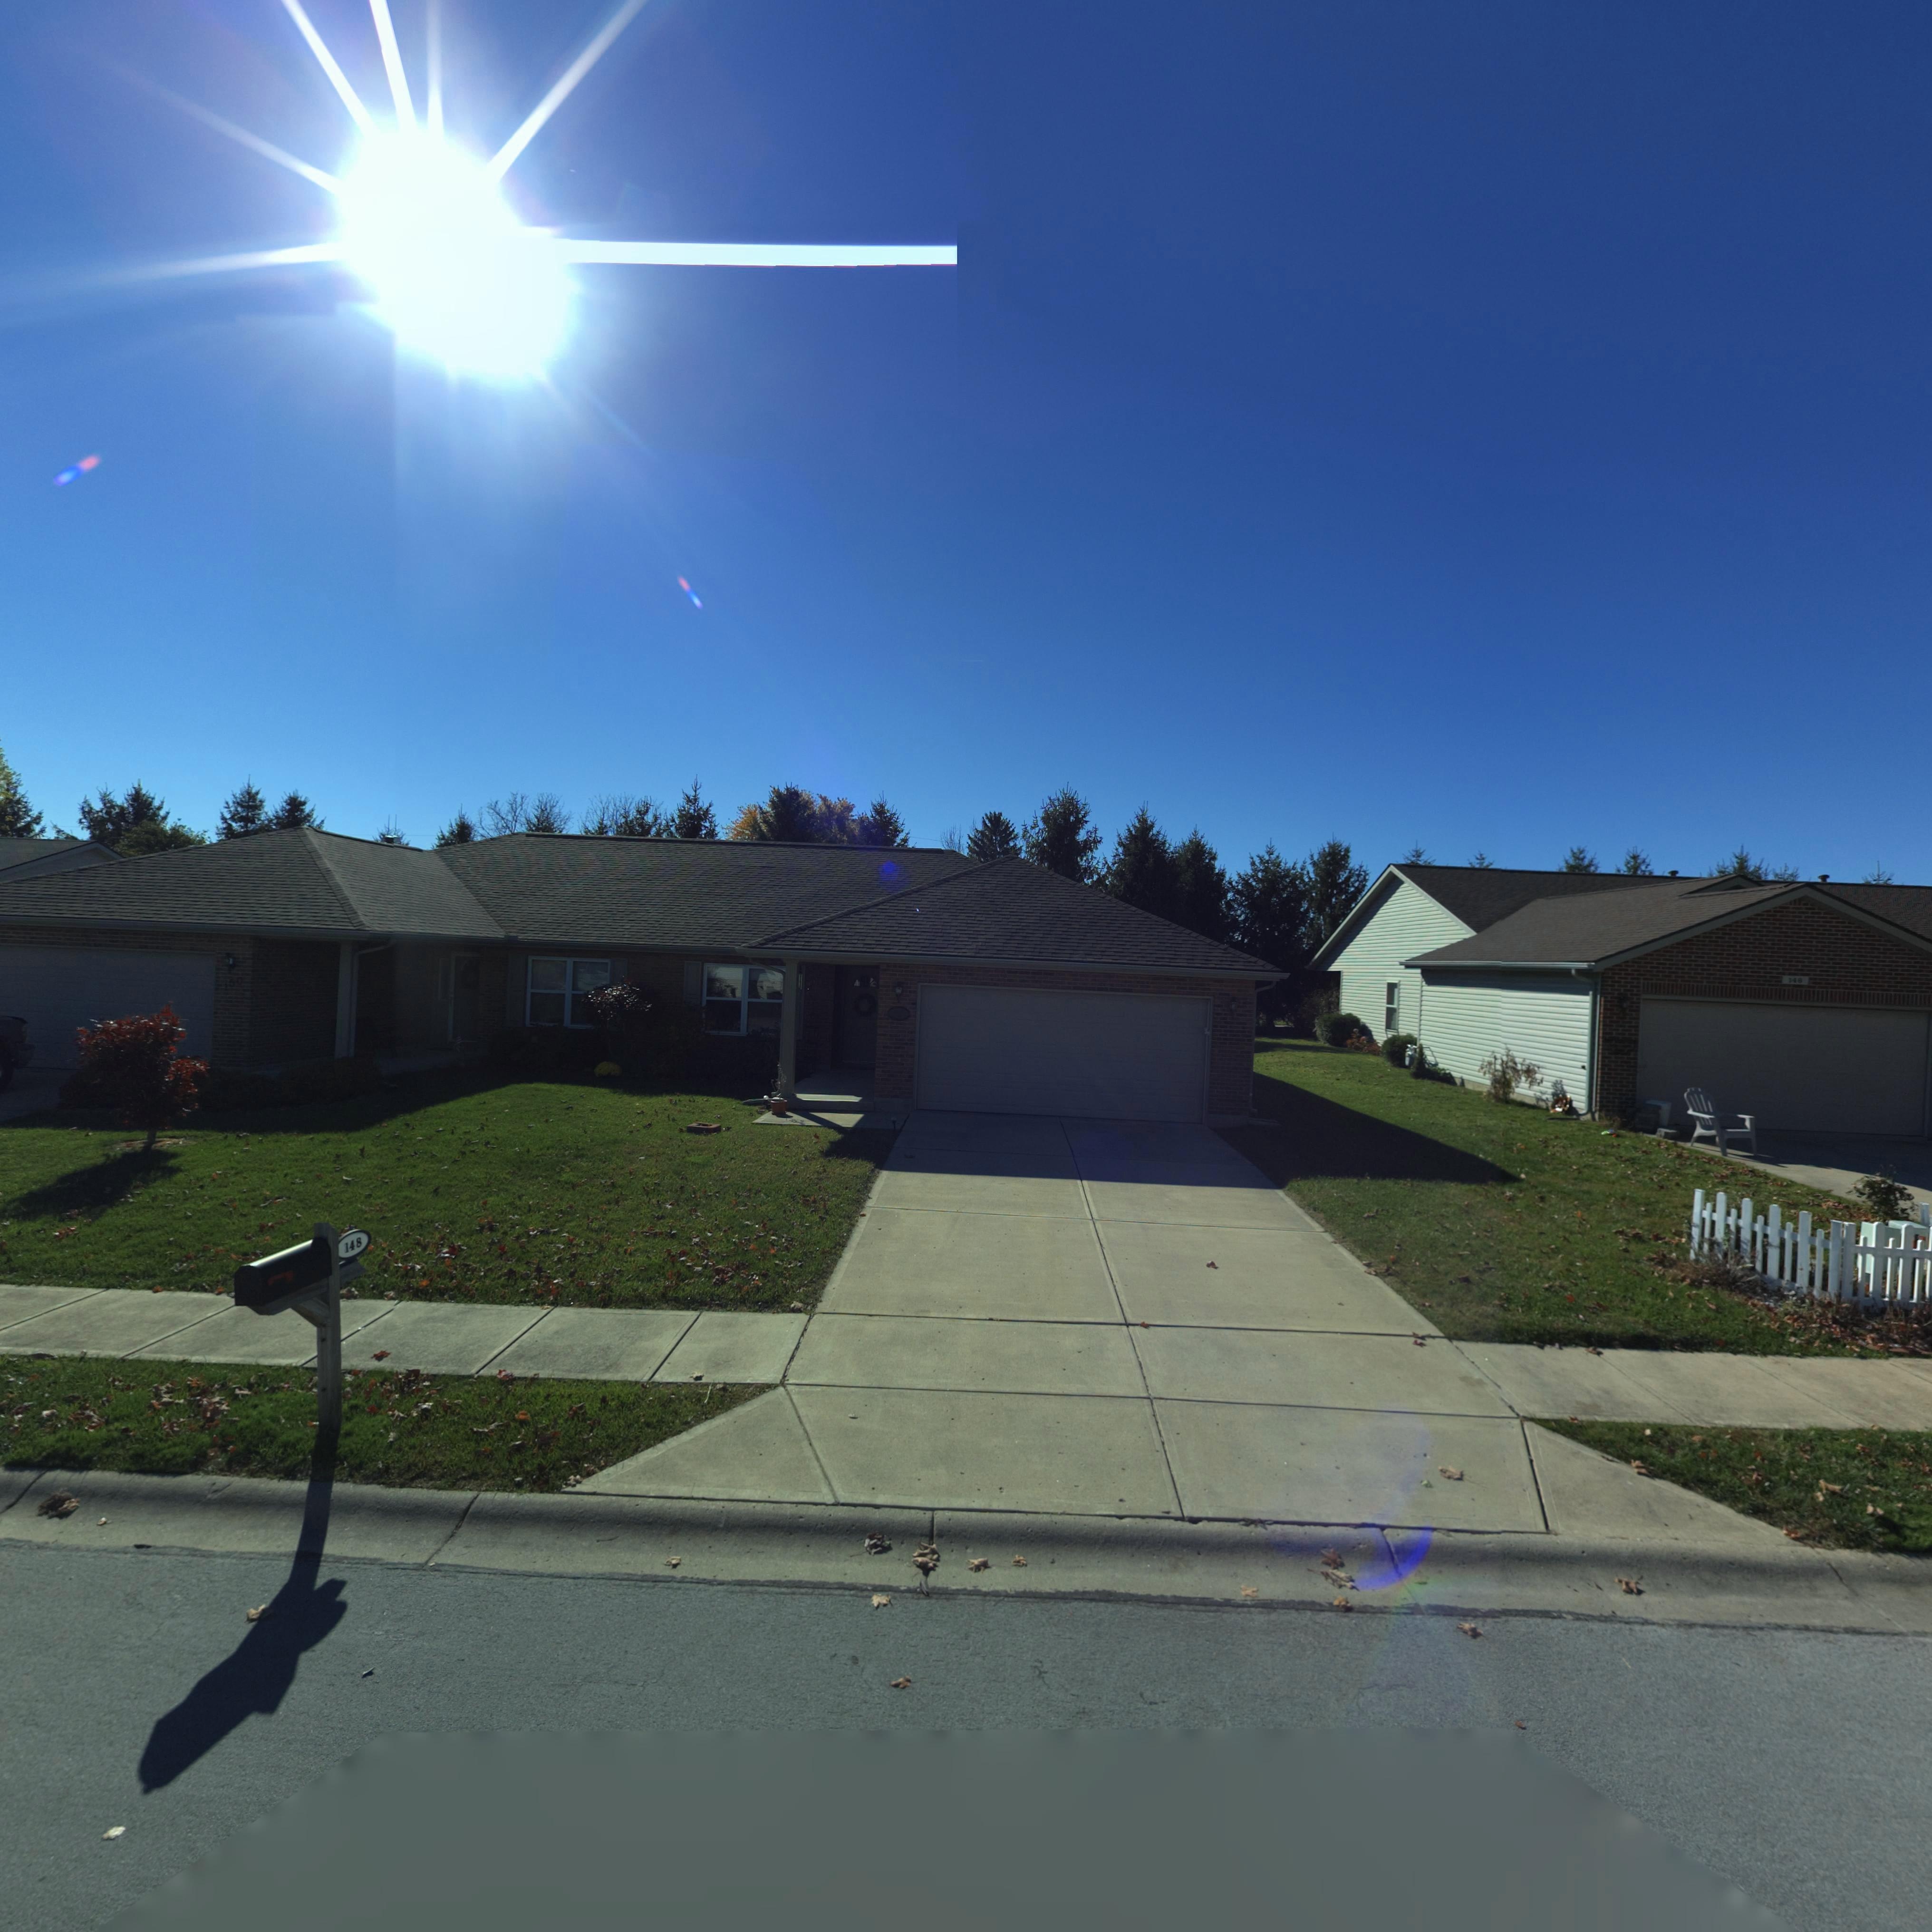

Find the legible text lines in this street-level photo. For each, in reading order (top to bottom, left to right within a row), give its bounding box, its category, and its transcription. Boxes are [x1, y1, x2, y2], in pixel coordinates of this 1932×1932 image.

[223, 976, 244, 992] StreetNumber: 150
[1788, 977, 1803, 984] StreetNumber: 148
[344, 1236, 362, 1255] StreetNumber: 148